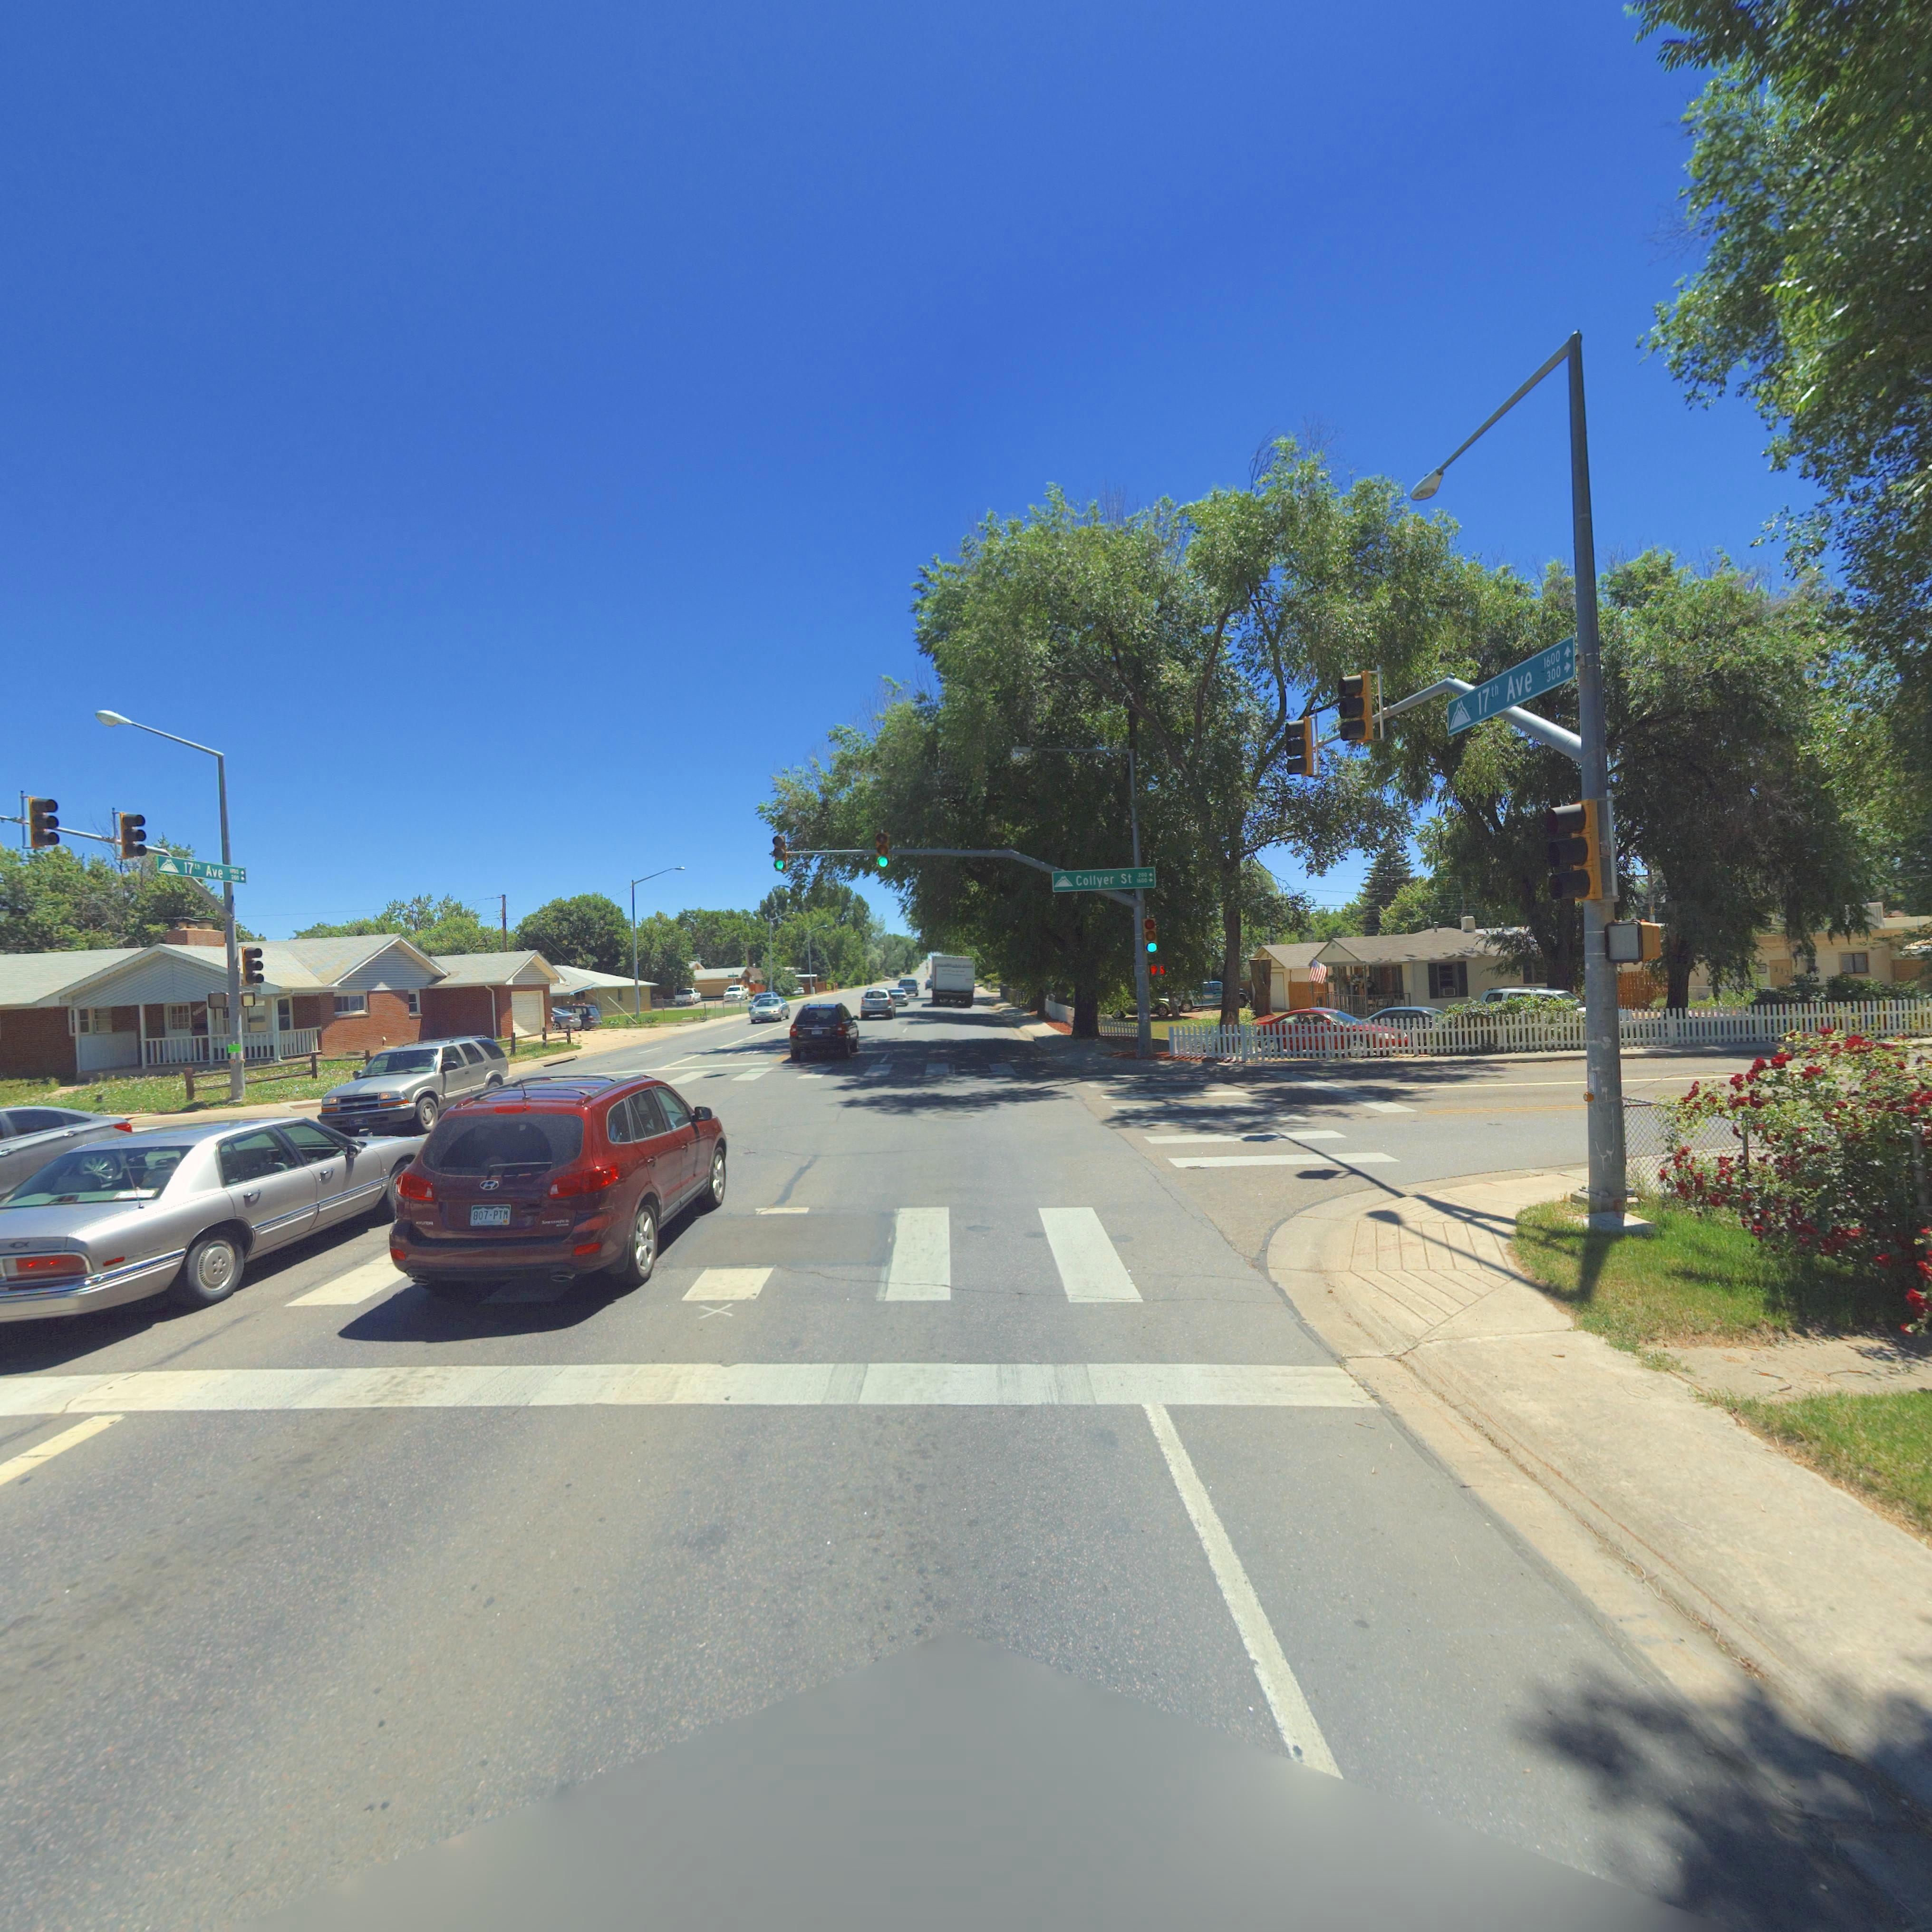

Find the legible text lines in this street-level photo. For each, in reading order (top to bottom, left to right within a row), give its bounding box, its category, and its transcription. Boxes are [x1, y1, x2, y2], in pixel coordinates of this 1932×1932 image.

[1544, 650, 1560, 668] StreetNumberRange: 1600
[1546, 662, 1572, 682] StreetNumberRange: 300->
[1477, 671, 1532, 716] StreetName: 17th Ave
[184, 861, 222, 879] StreetName: 17th Ave
[229, 868, 240, 874] StreetNumberRange: 1**0
[231, 874, 240, 880] StreetNumberRange: 200
[1075, 873, 1132, 888] StreetName: Collyer St
[1138, 872, 1147, 878] StreetNumberRange: 200
[1137, 878, 1153, 883] StreetNumberRange: 1600->